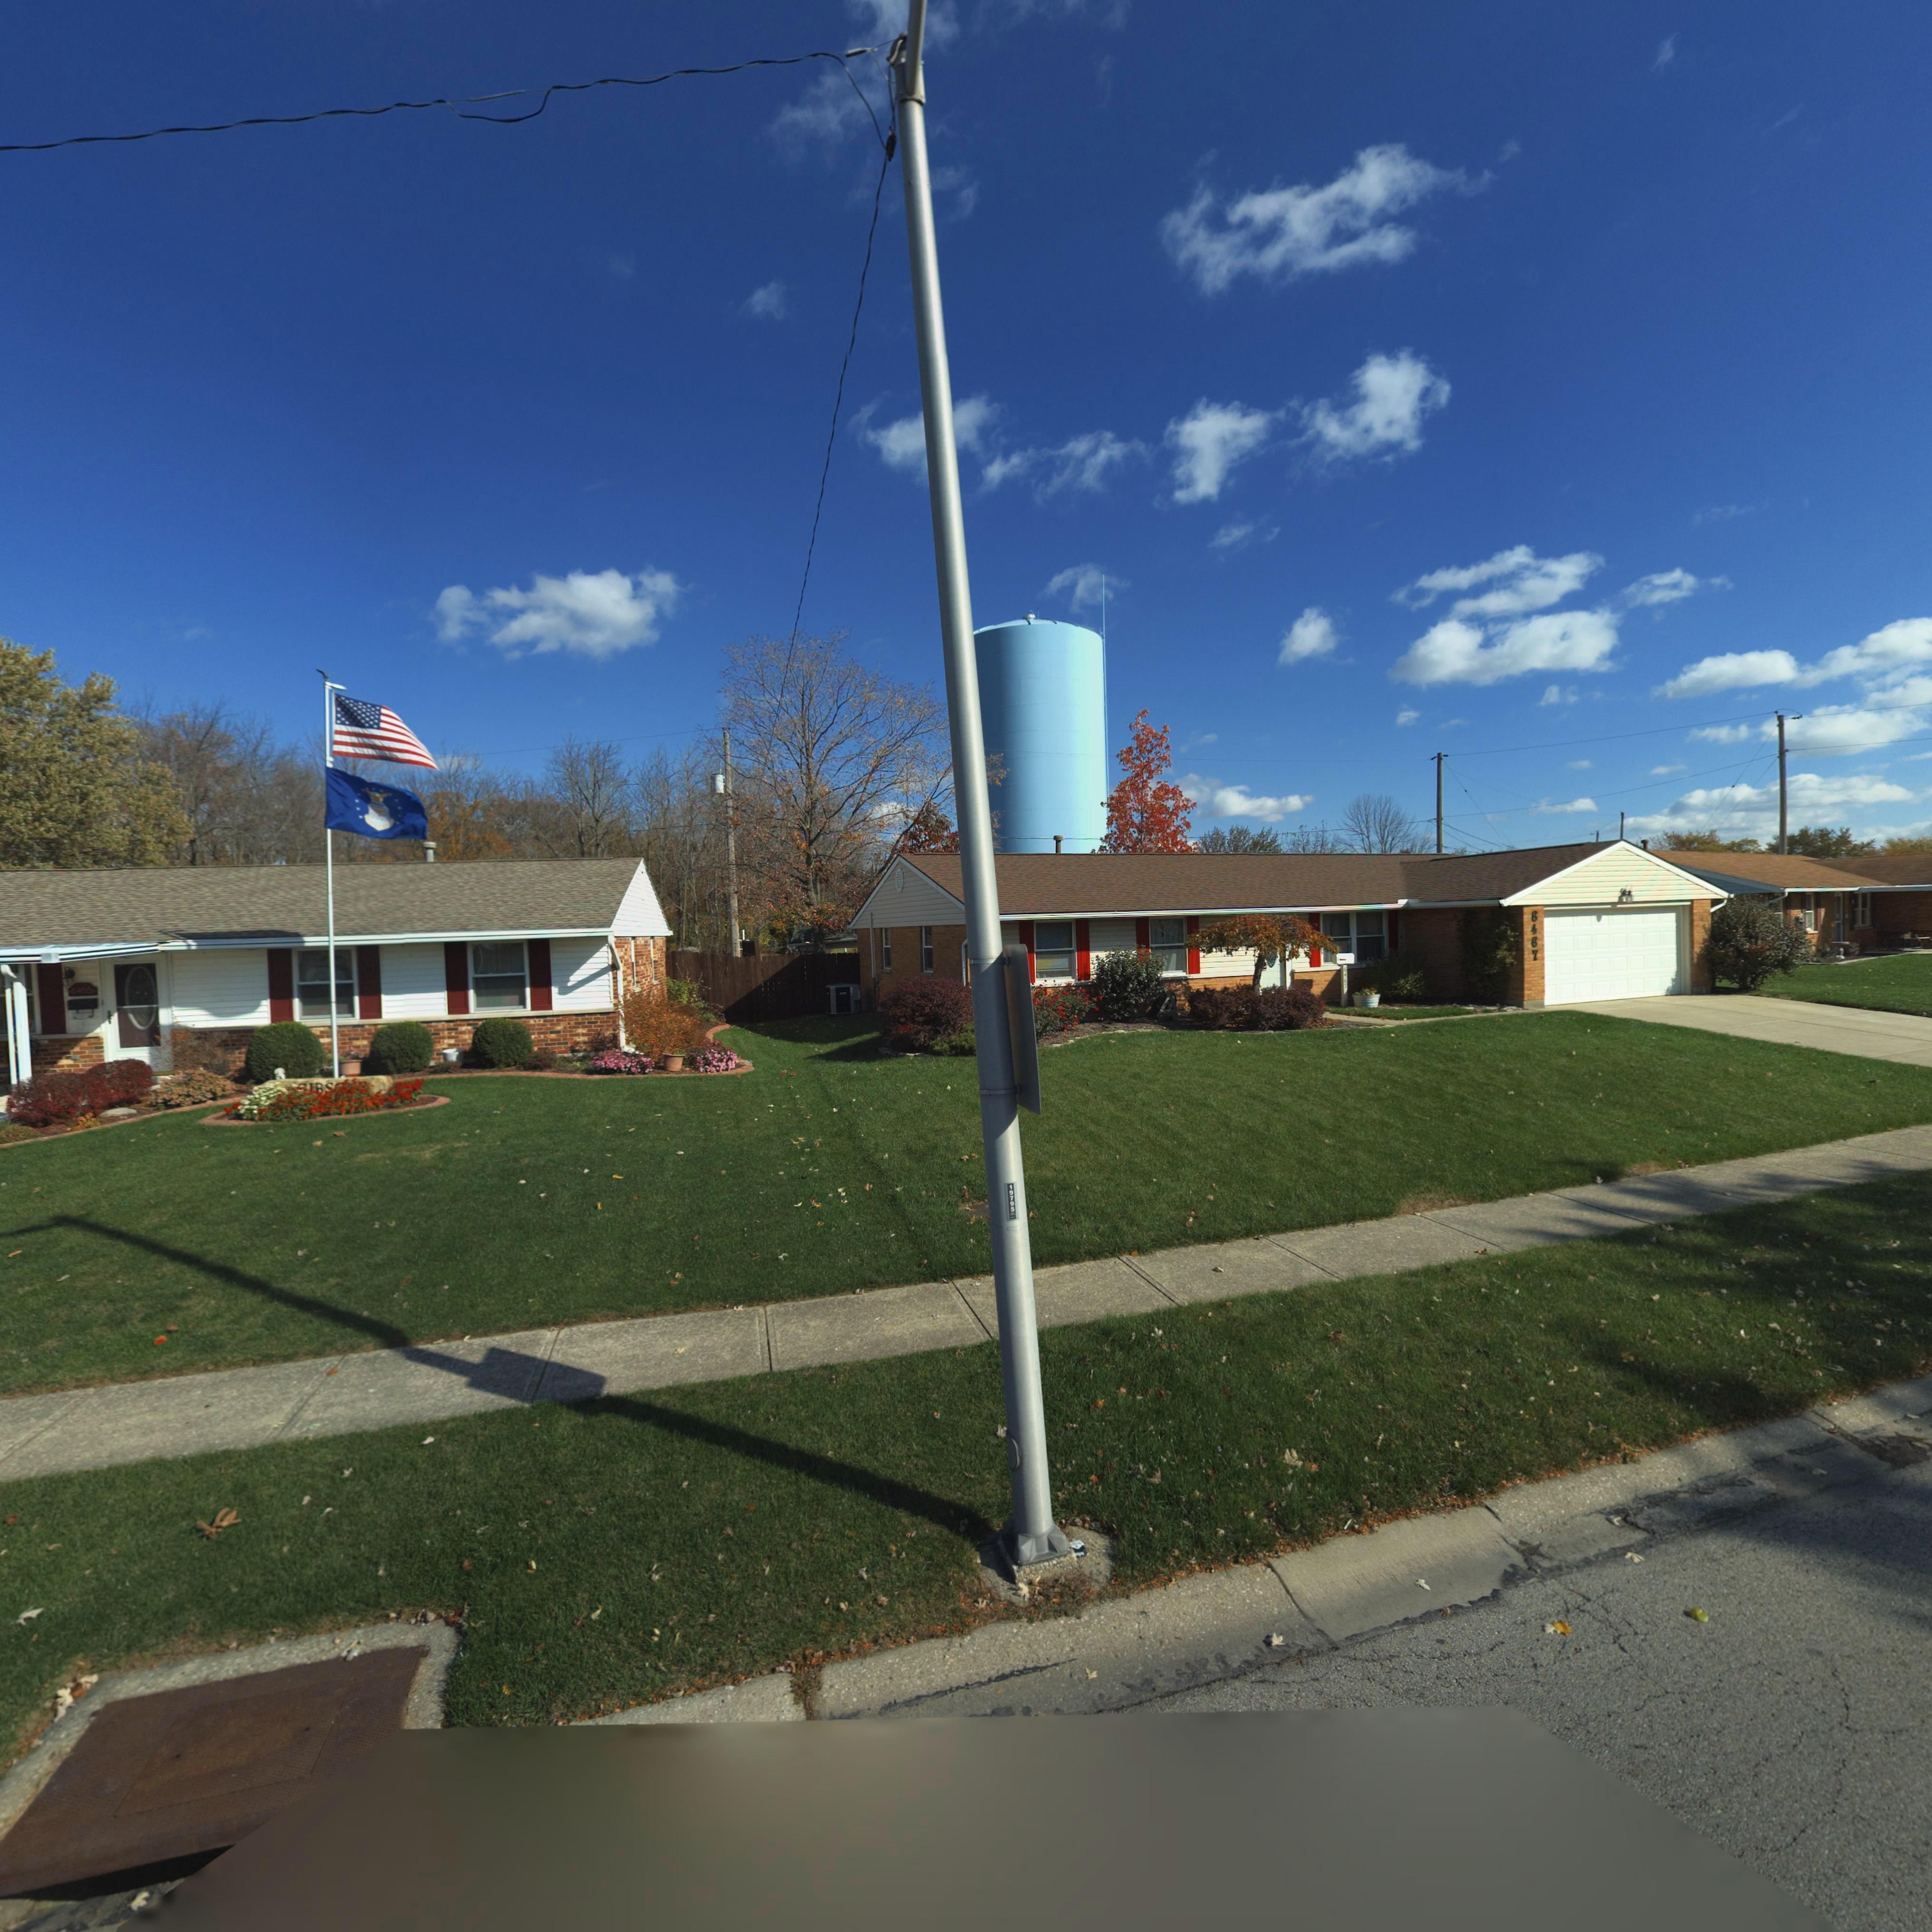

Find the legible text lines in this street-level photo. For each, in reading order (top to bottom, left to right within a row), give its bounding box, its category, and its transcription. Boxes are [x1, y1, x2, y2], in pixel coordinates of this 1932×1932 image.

[1531, 909, 1539, 962] StreetNumber: 6467
[1343, 966, 1347, 989] StreetNumber: 6467
[69, 986, 94, 995] StreetNumber: 6455